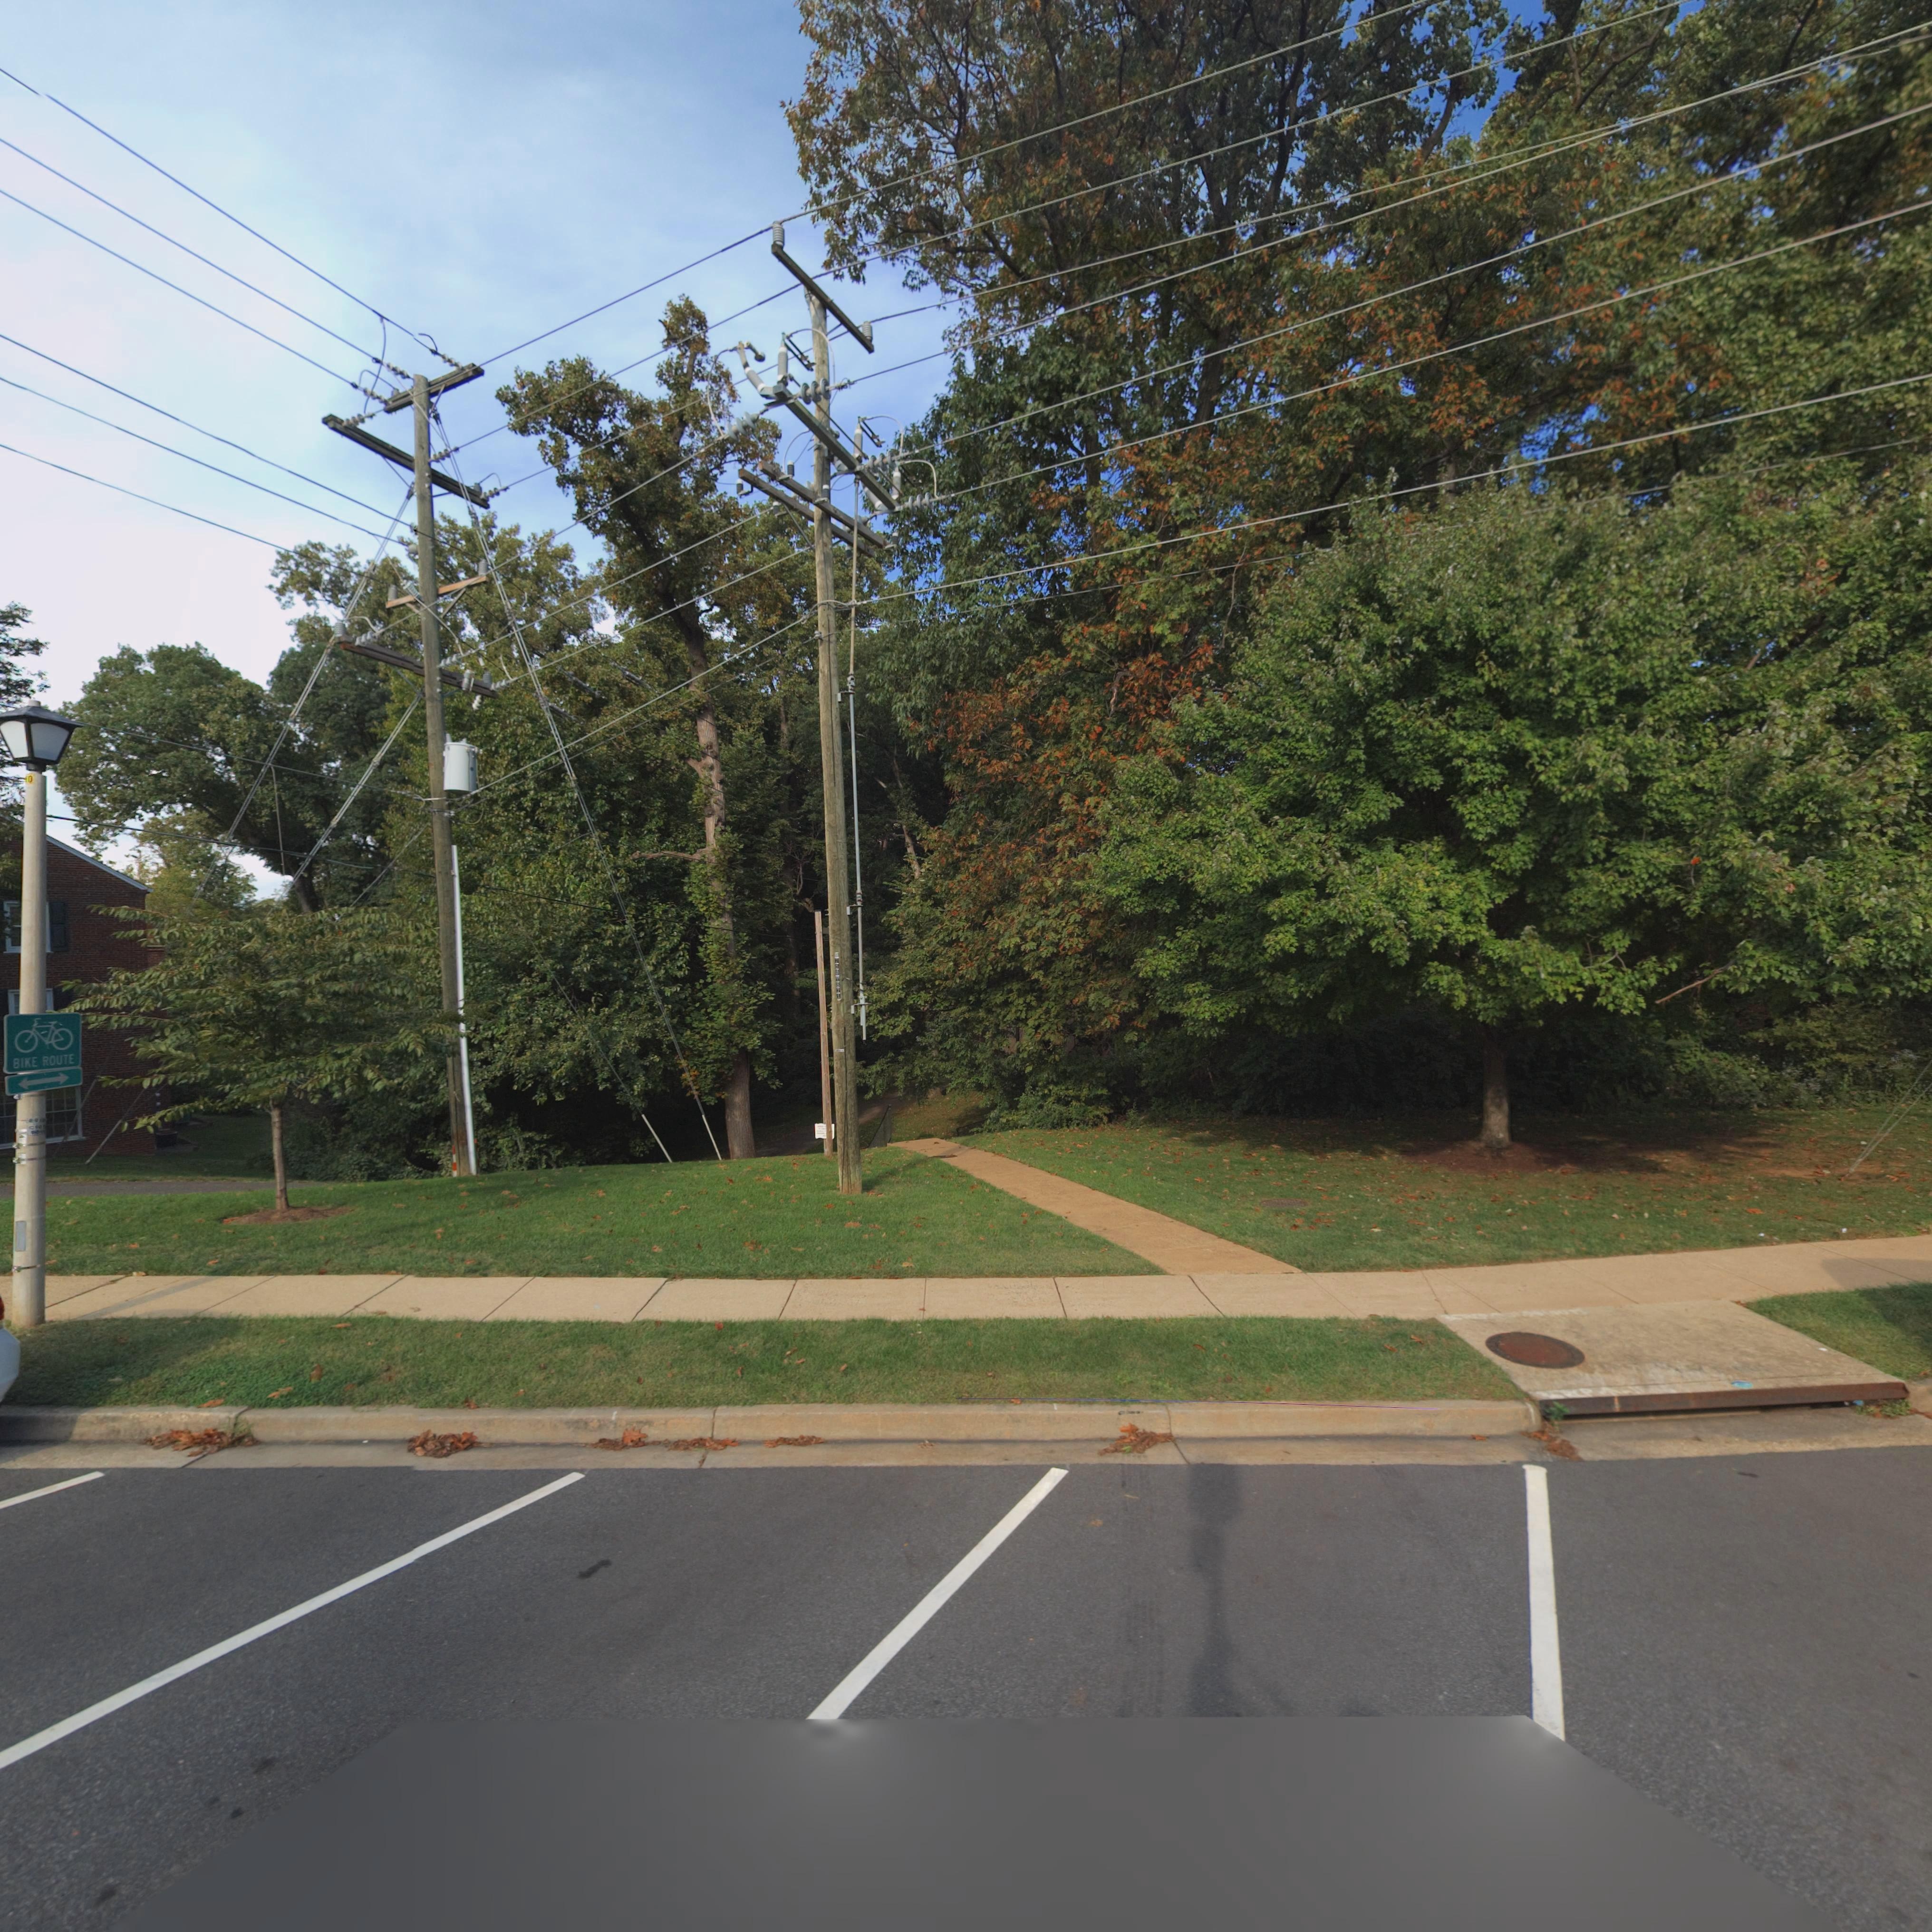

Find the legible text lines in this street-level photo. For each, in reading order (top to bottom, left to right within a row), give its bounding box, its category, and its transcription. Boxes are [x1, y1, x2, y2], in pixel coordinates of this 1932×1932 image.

[10, 1050, 78, 1072] None: BIKE ROUTE